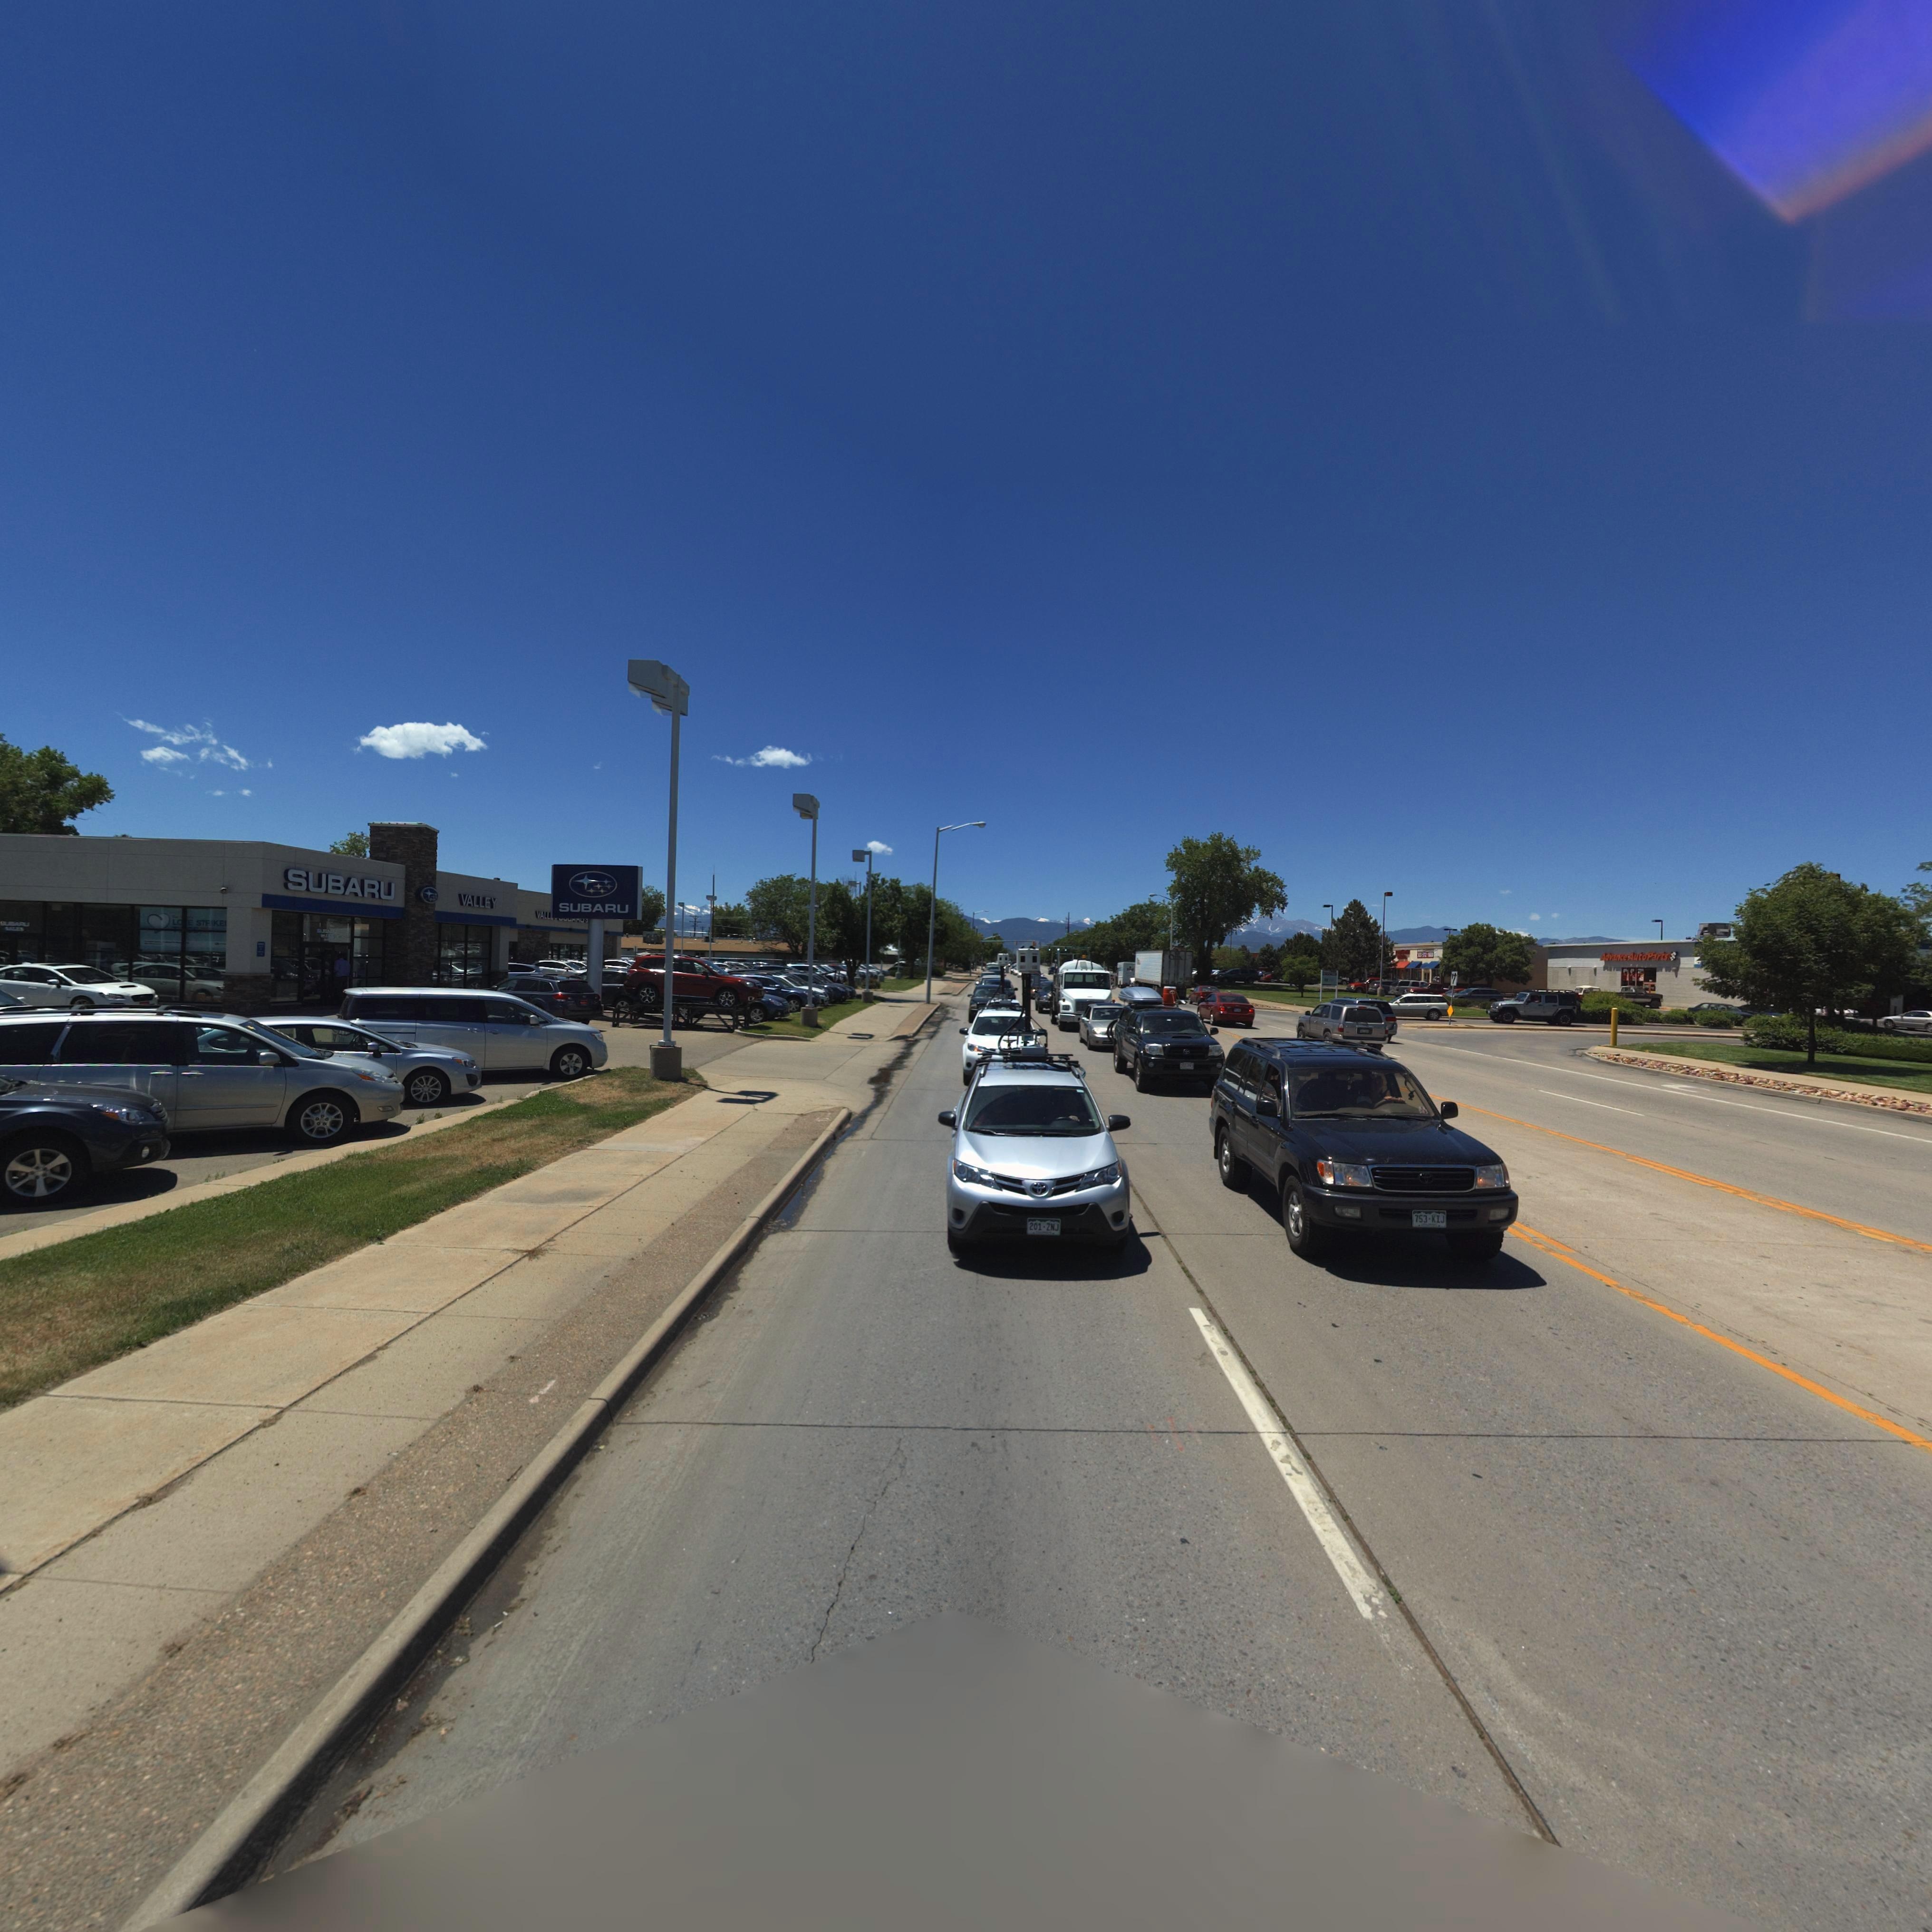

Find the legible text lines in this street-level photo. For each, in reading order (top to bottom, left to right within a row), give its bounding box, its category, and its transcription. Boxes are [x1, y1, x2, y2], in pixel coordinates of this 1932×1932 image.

[287, 868, 395, 900] BusinessName: SUBARU
[460, 893, 498, 909] BusinessName: VALLEY
[558, 902, 628, 913] BusinessName: SUBARU
[0, 920, 30, 927] BusinessName: SU*ARU
[1599, 951, 1670, 961] BusinessName: AdvanceAutoParts